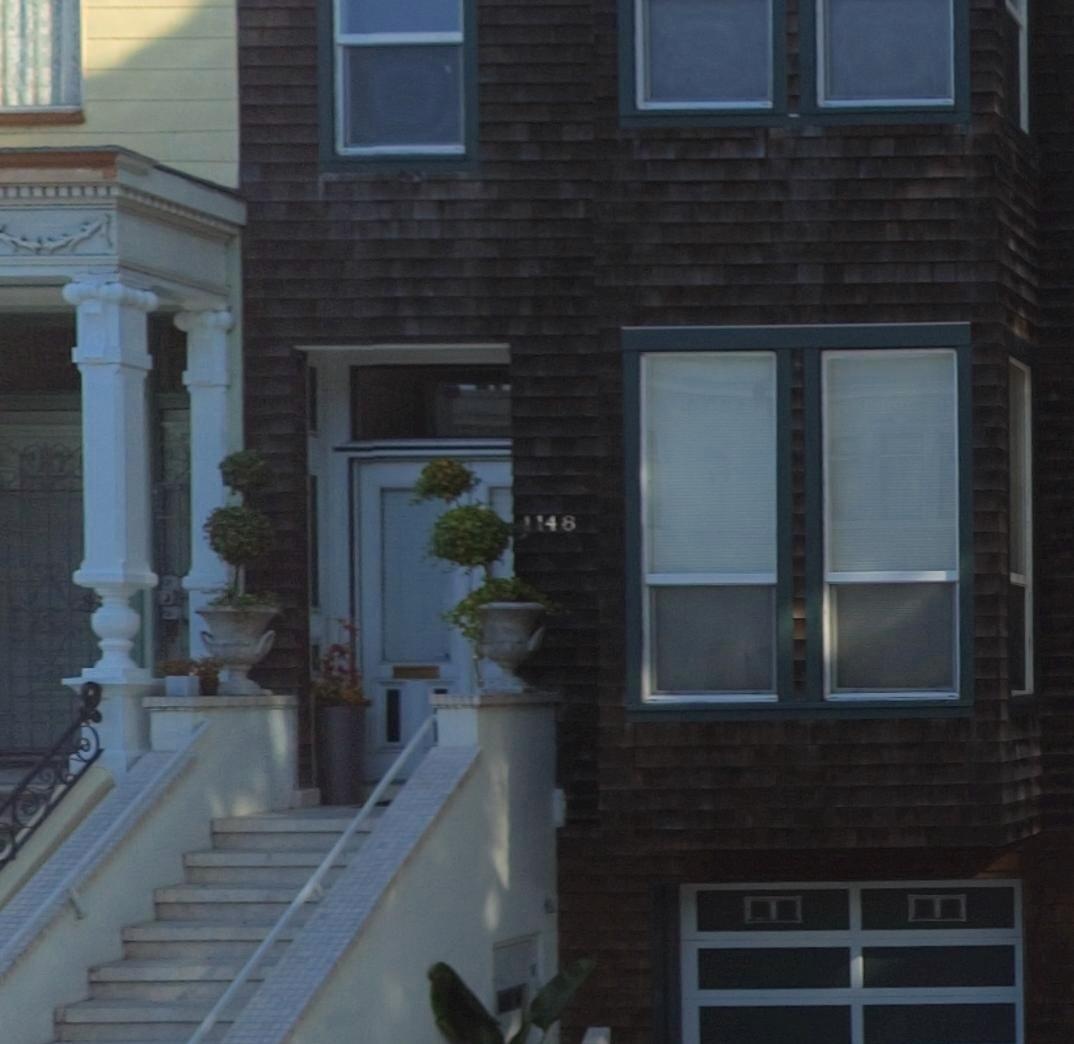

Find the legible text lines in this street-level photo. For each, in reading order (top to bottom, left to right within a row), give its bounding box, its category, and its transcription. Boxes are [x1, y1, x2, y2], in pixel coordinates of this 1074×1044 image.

[520, 506, 579, 539] StreetNumber: 1148